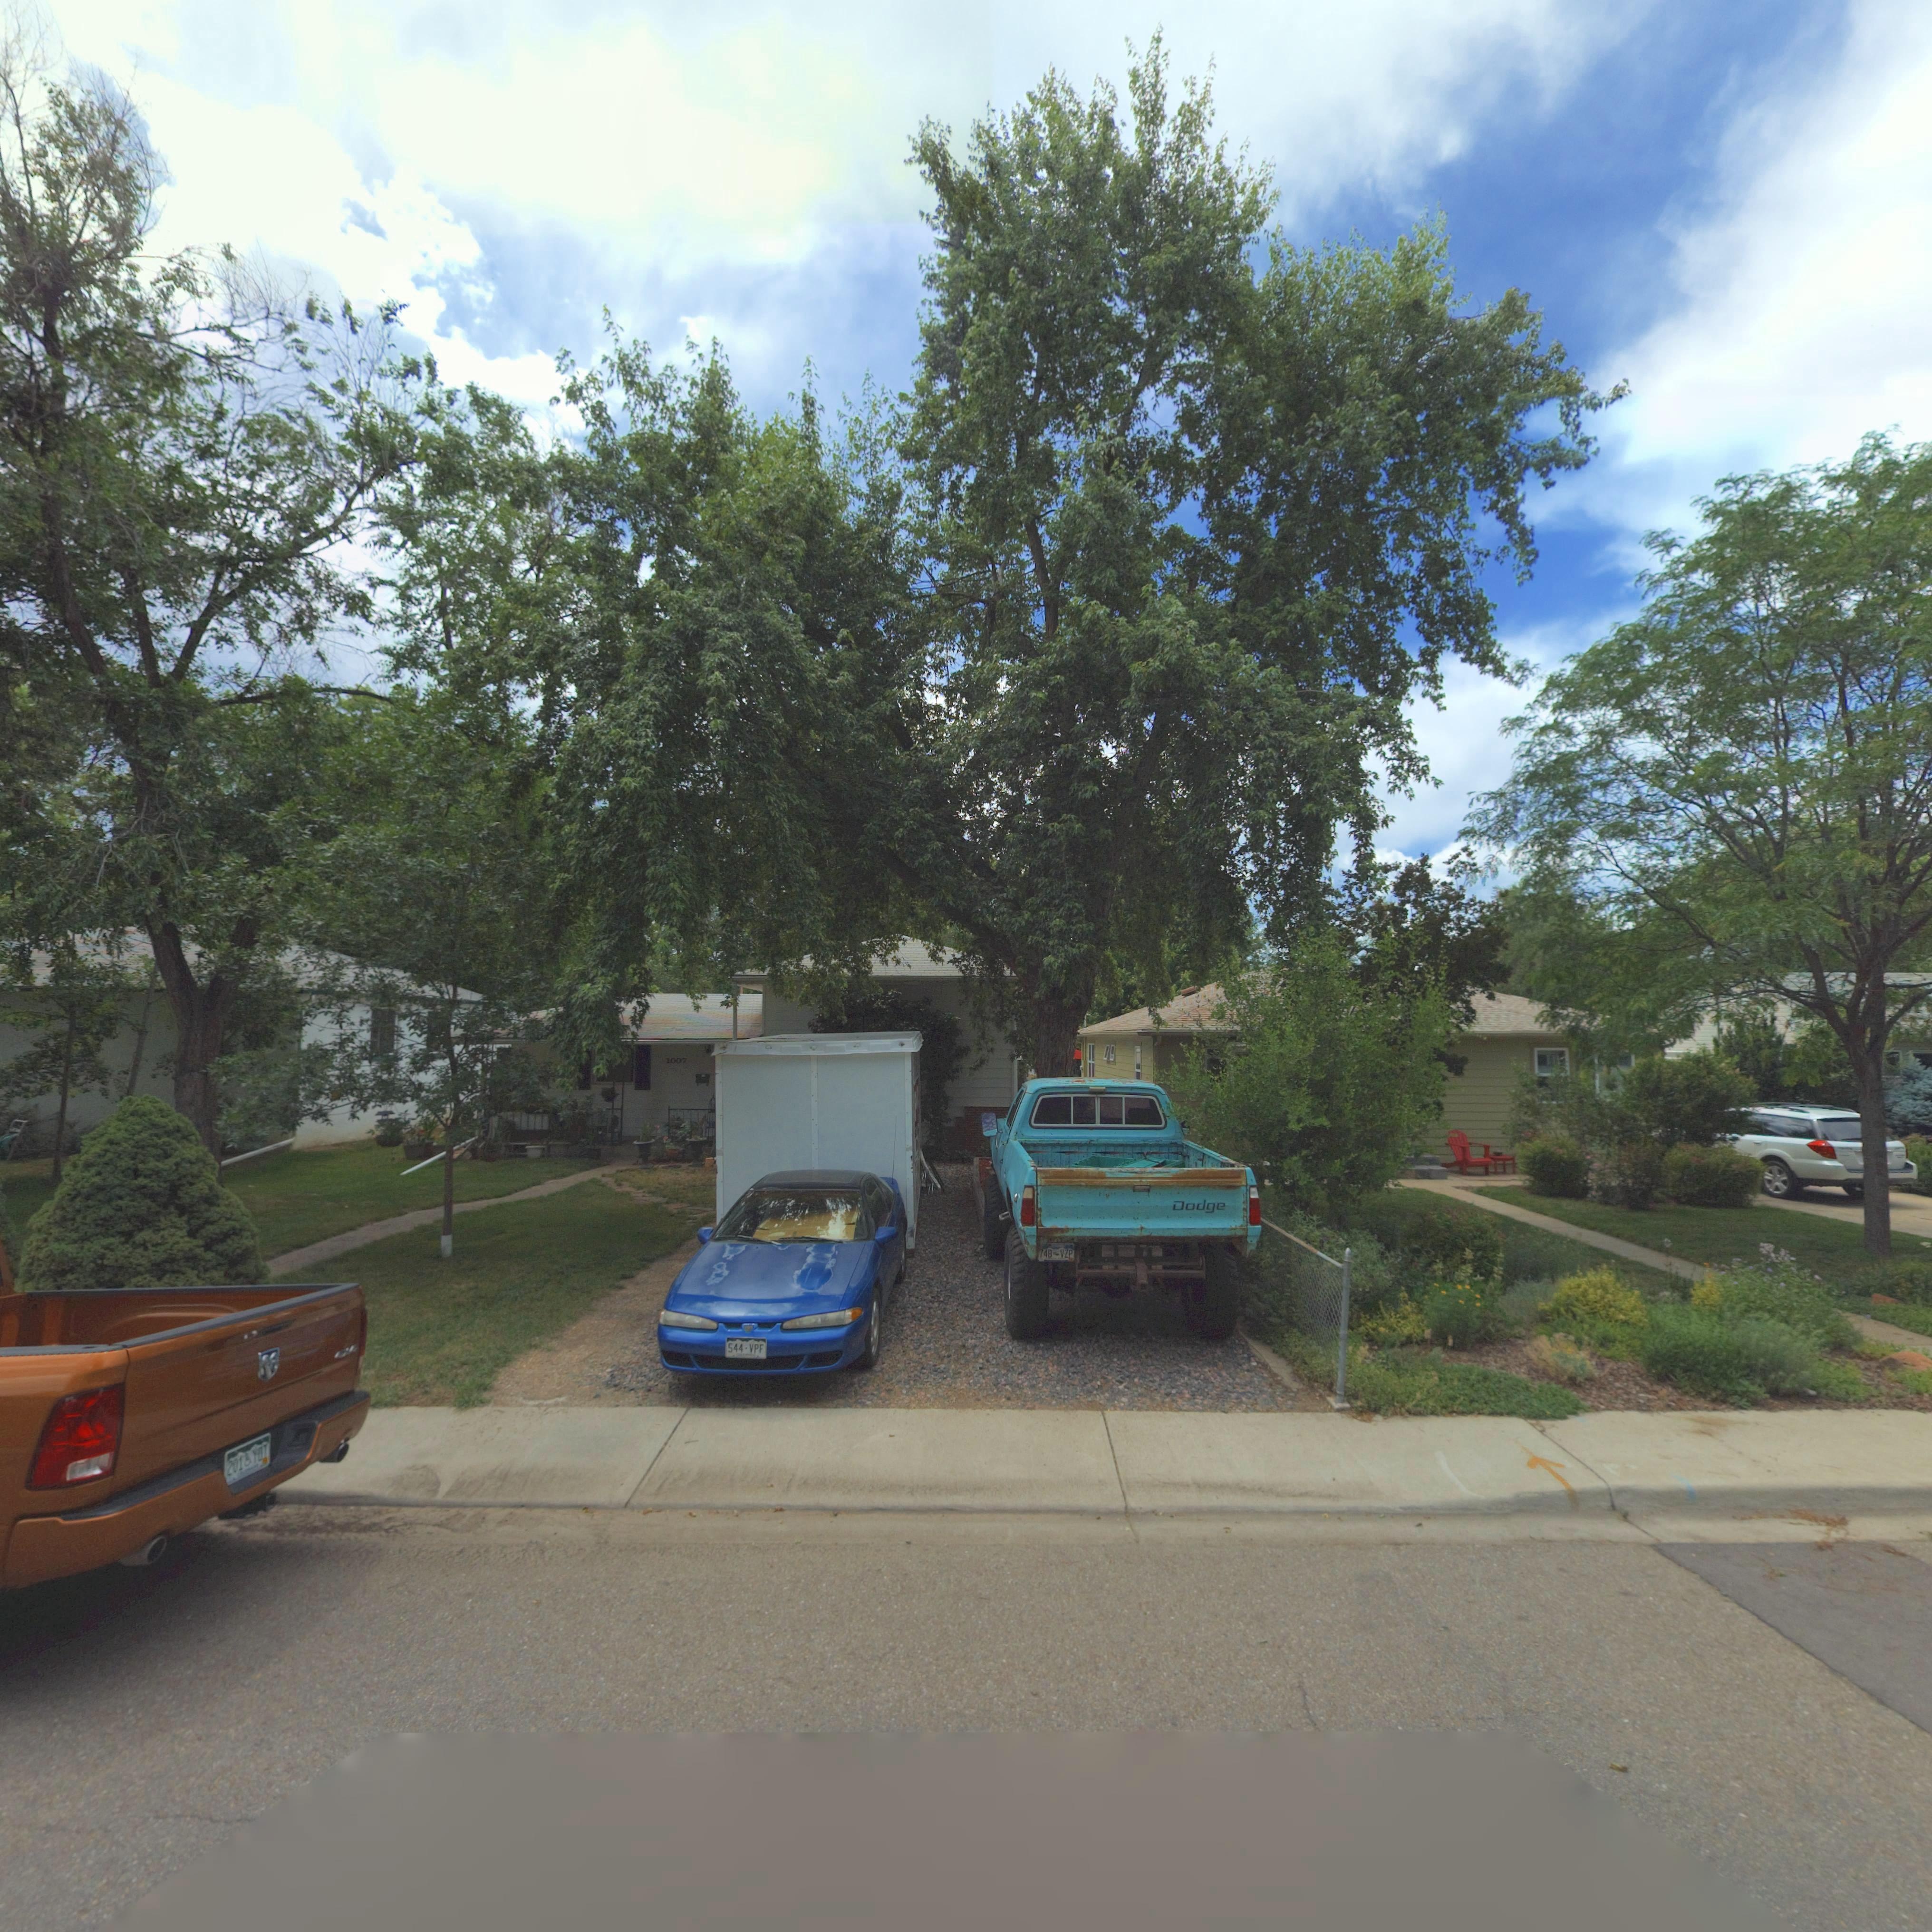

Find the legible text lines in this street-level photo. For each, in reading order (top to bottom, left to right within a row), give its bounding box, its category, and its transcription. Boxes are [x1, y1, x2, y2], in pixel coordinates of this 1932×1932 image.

[665, 1057, 688, 1063] StreetNumber: 1007